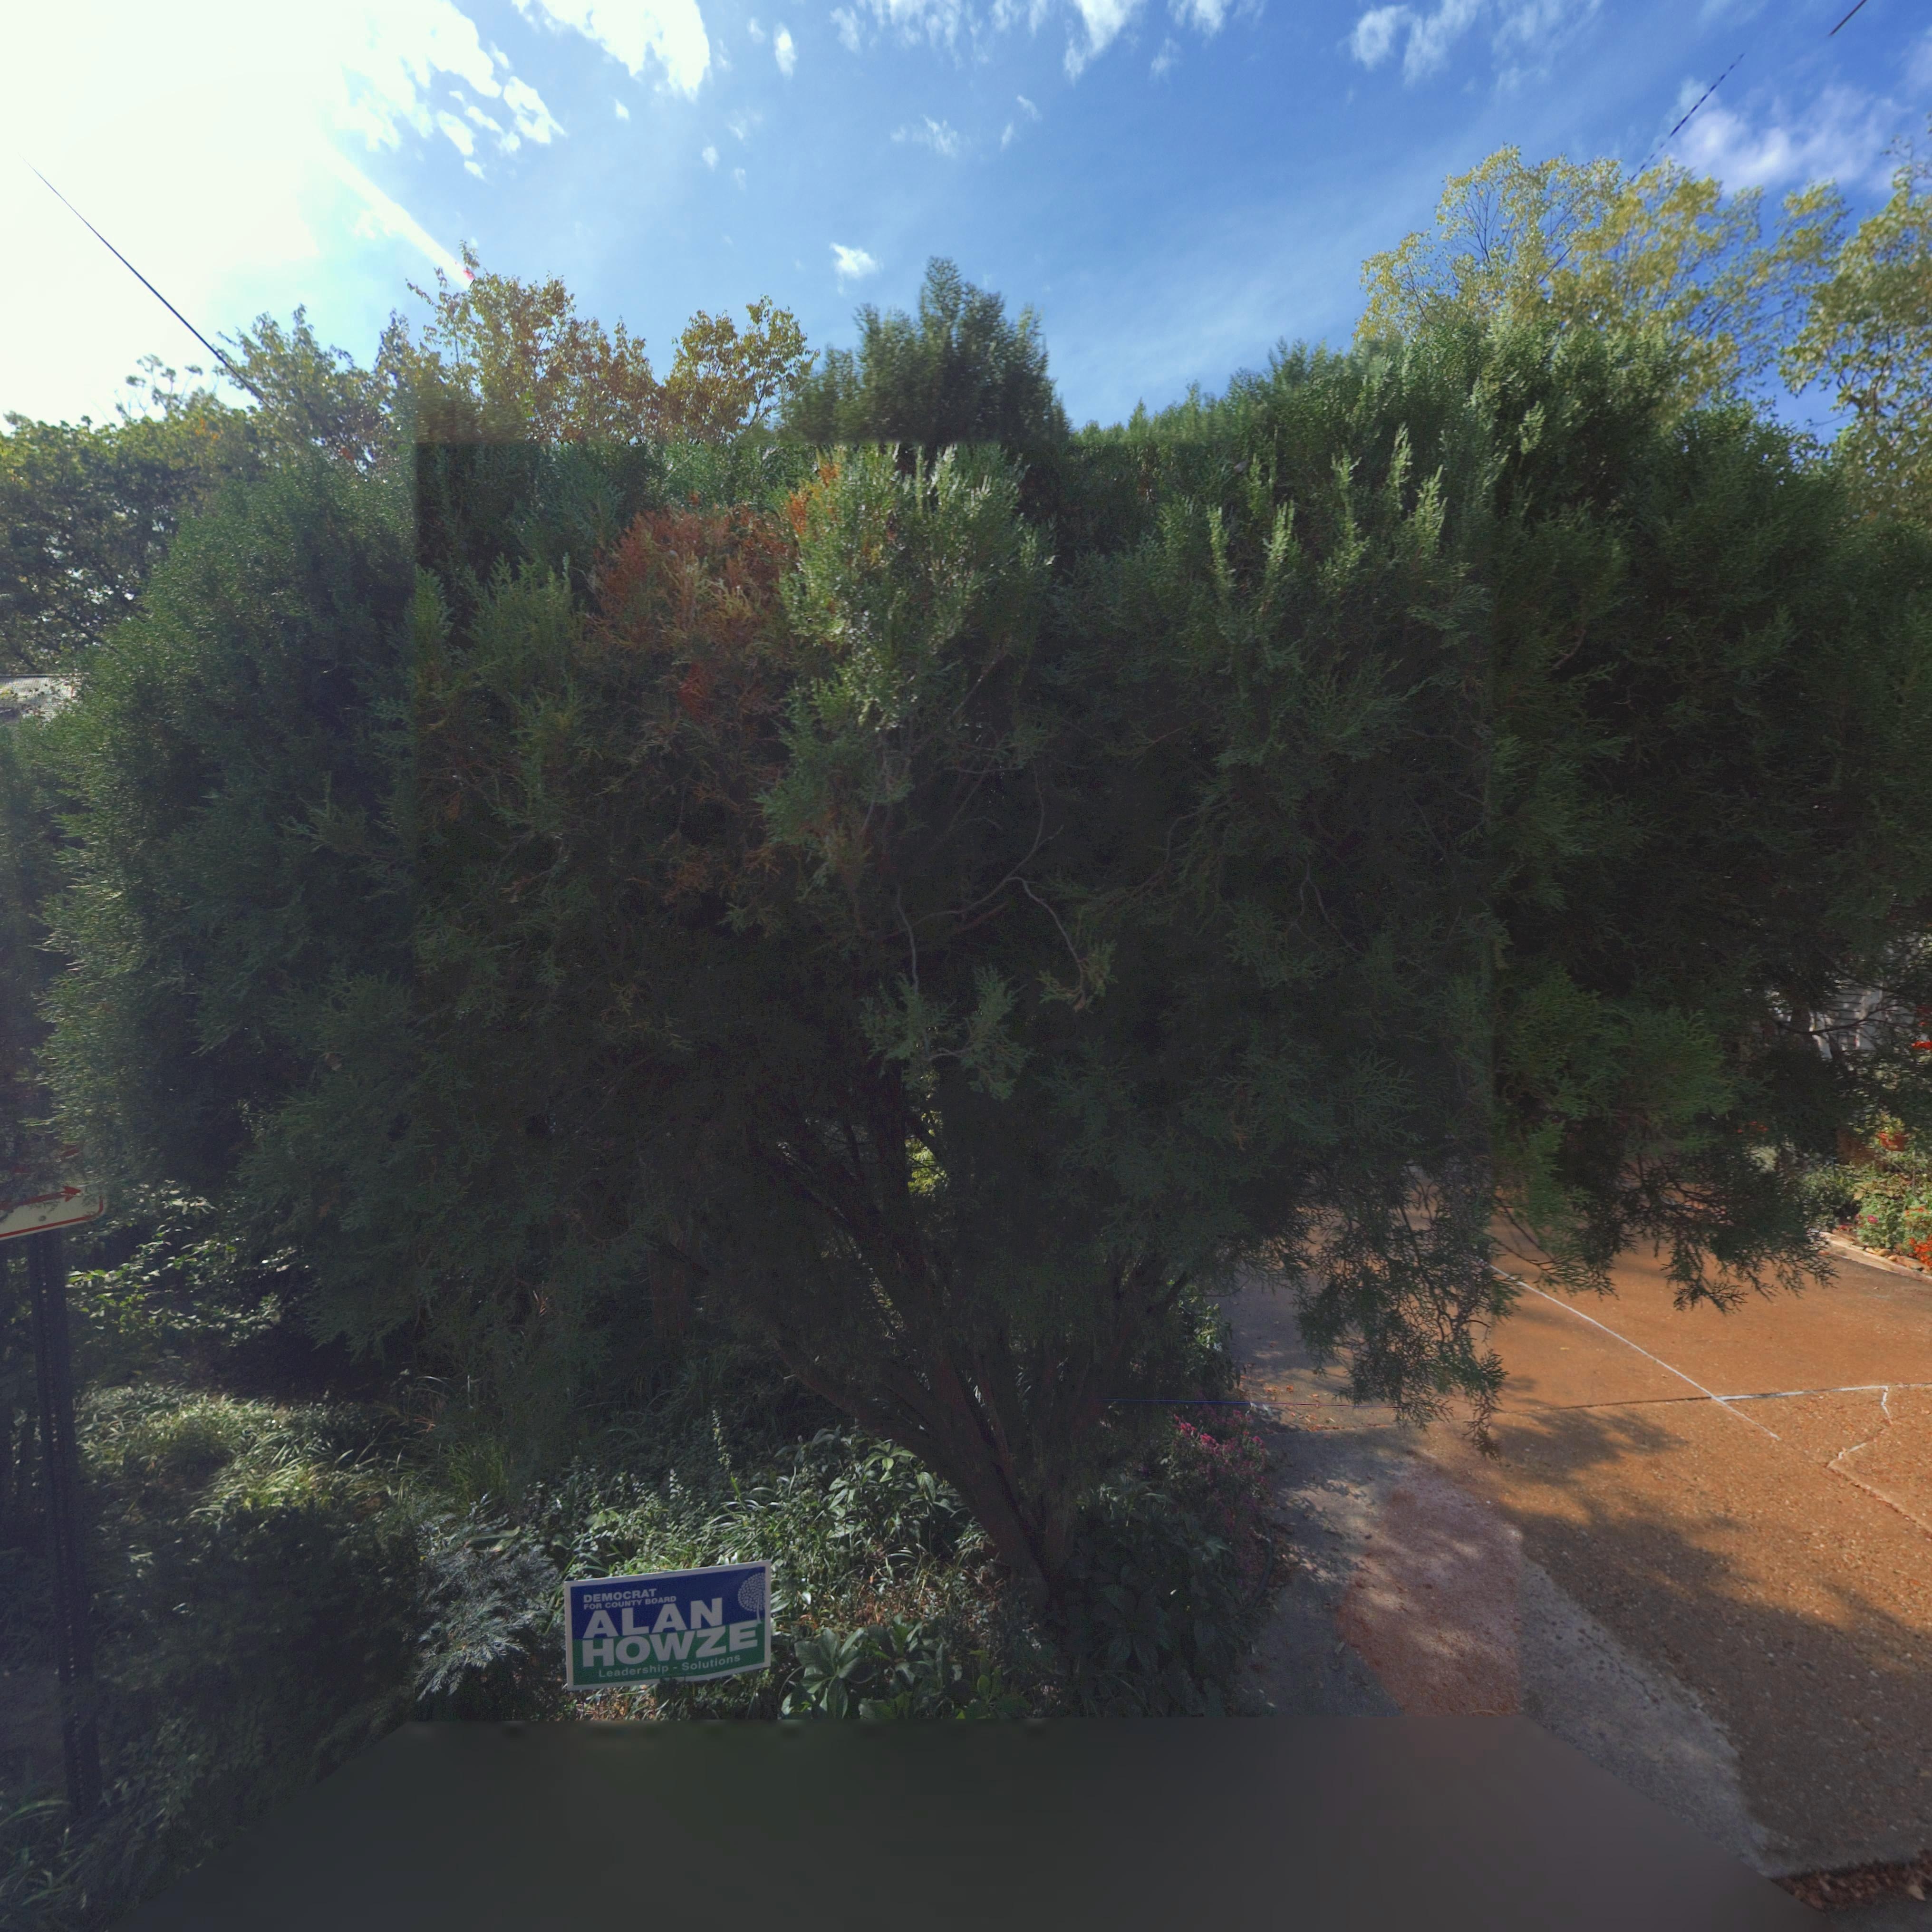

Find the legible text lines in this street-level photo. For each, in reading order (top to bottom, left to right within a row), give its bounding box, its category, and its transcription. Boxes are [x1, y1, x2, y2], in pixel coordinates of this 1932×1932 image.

[582, 1587, 658, 1604] None: DEMOCRAT
[582, 1594, 677, 1612] None: FOR COUNTY BOARD
[580, 1596, 723, 1640] None: ALAN
[581, 1618, 758, 1669] None: HOWZE
[597, 1653, 743, 1680] None: Leadership - Solutions